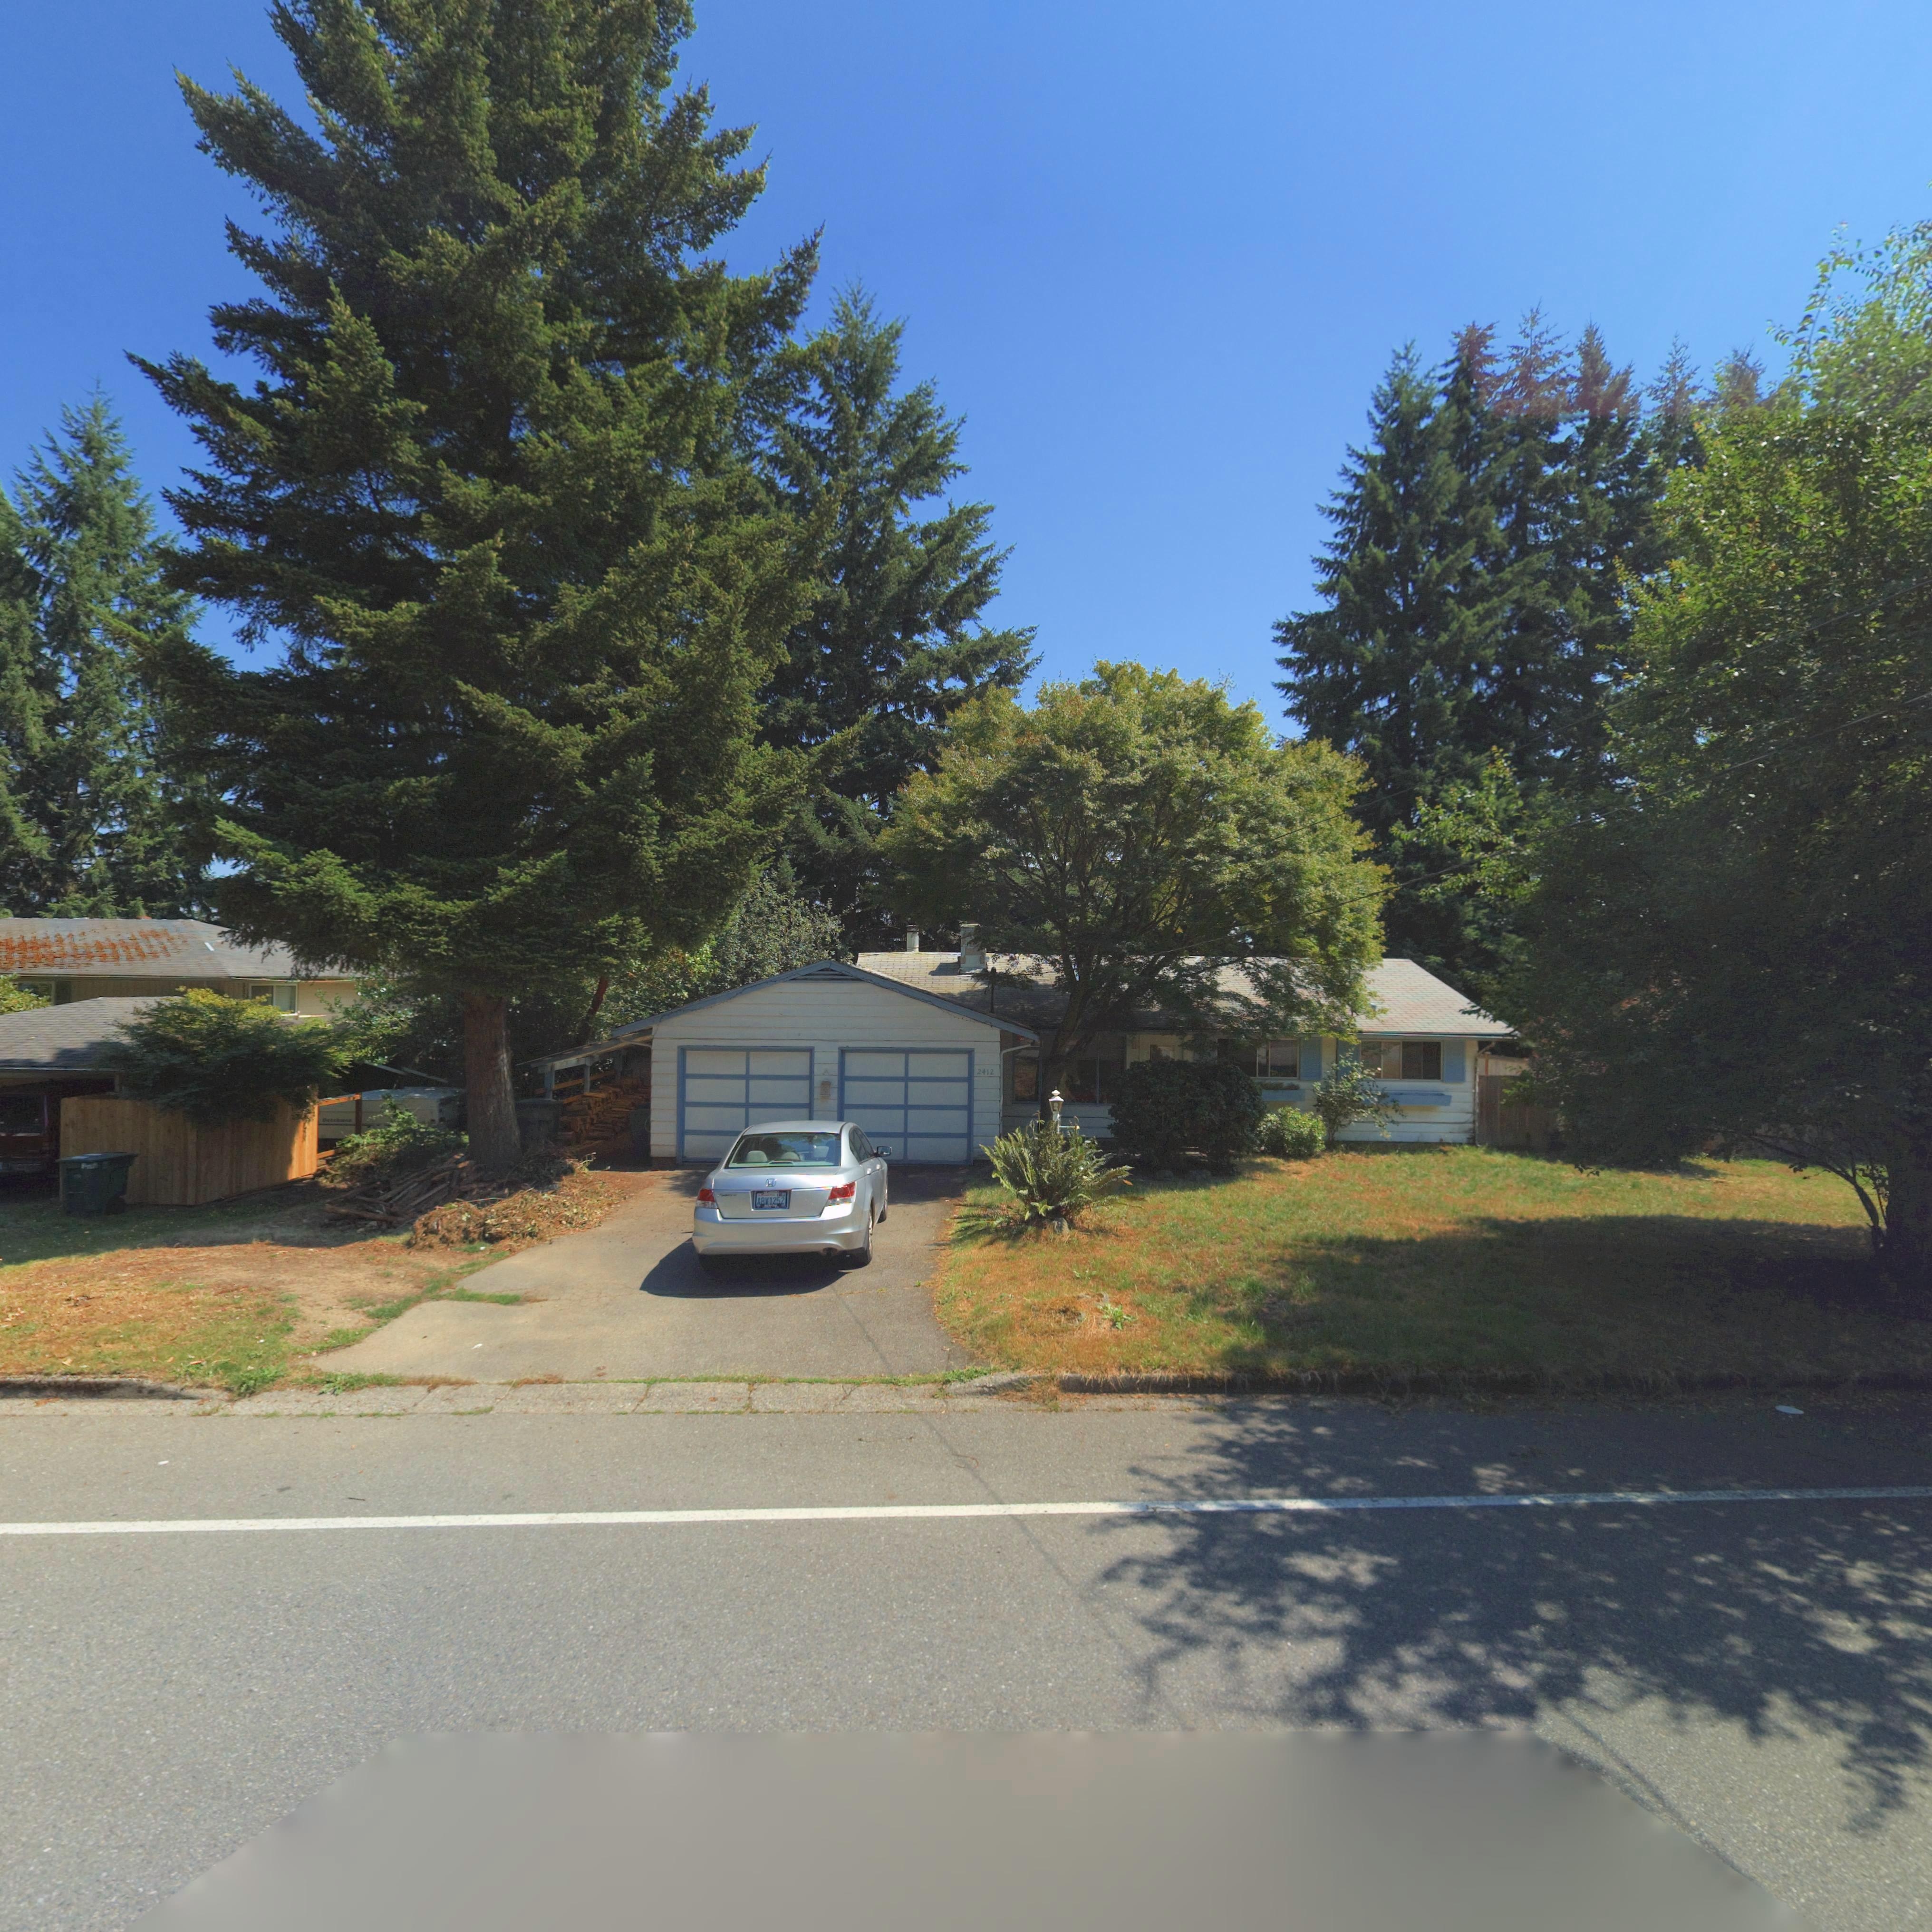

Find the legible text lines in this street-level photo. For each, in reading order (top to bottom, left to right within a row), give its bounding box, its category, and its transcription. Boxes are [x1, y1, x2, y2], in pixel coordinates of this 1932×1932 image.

[977, 1069, 994, 1074] StreetNumber: 2412